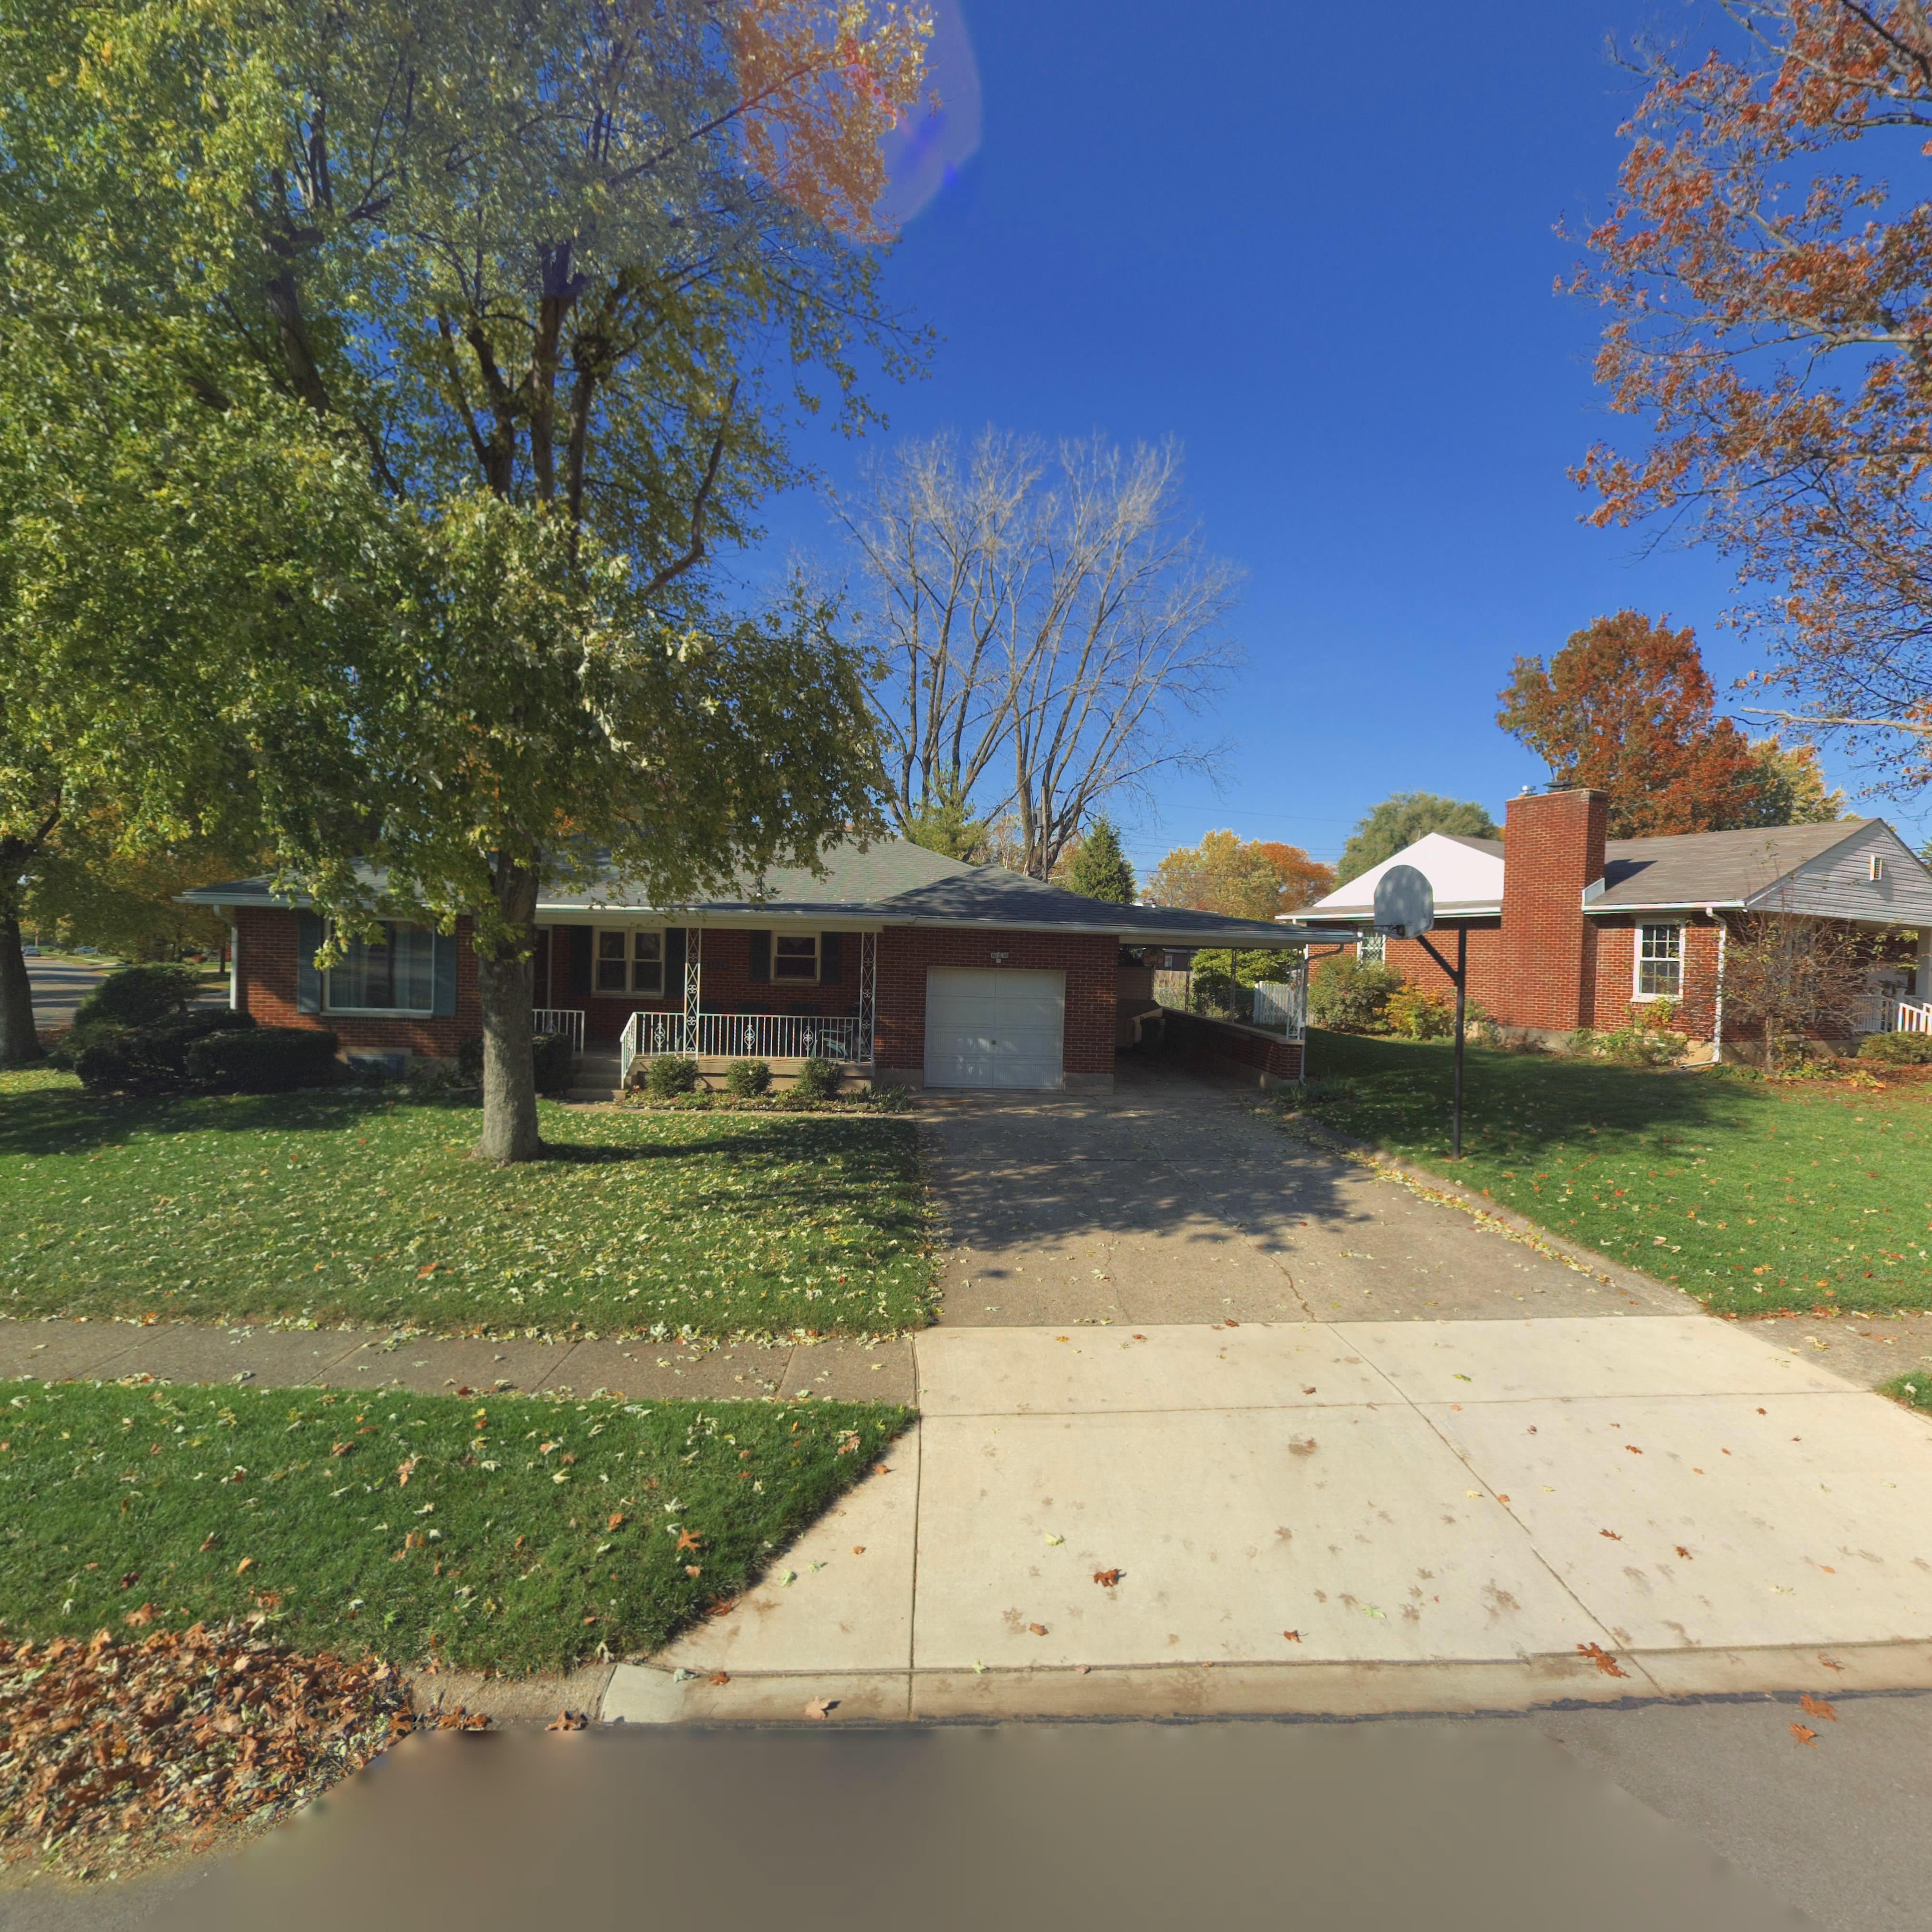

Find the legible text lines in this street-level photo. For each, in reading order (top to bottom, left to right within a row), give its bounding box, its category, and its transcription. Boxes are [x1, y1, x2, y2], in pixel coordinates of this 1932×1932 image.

[708, 959, 729, 970] StreetNumber: 3829